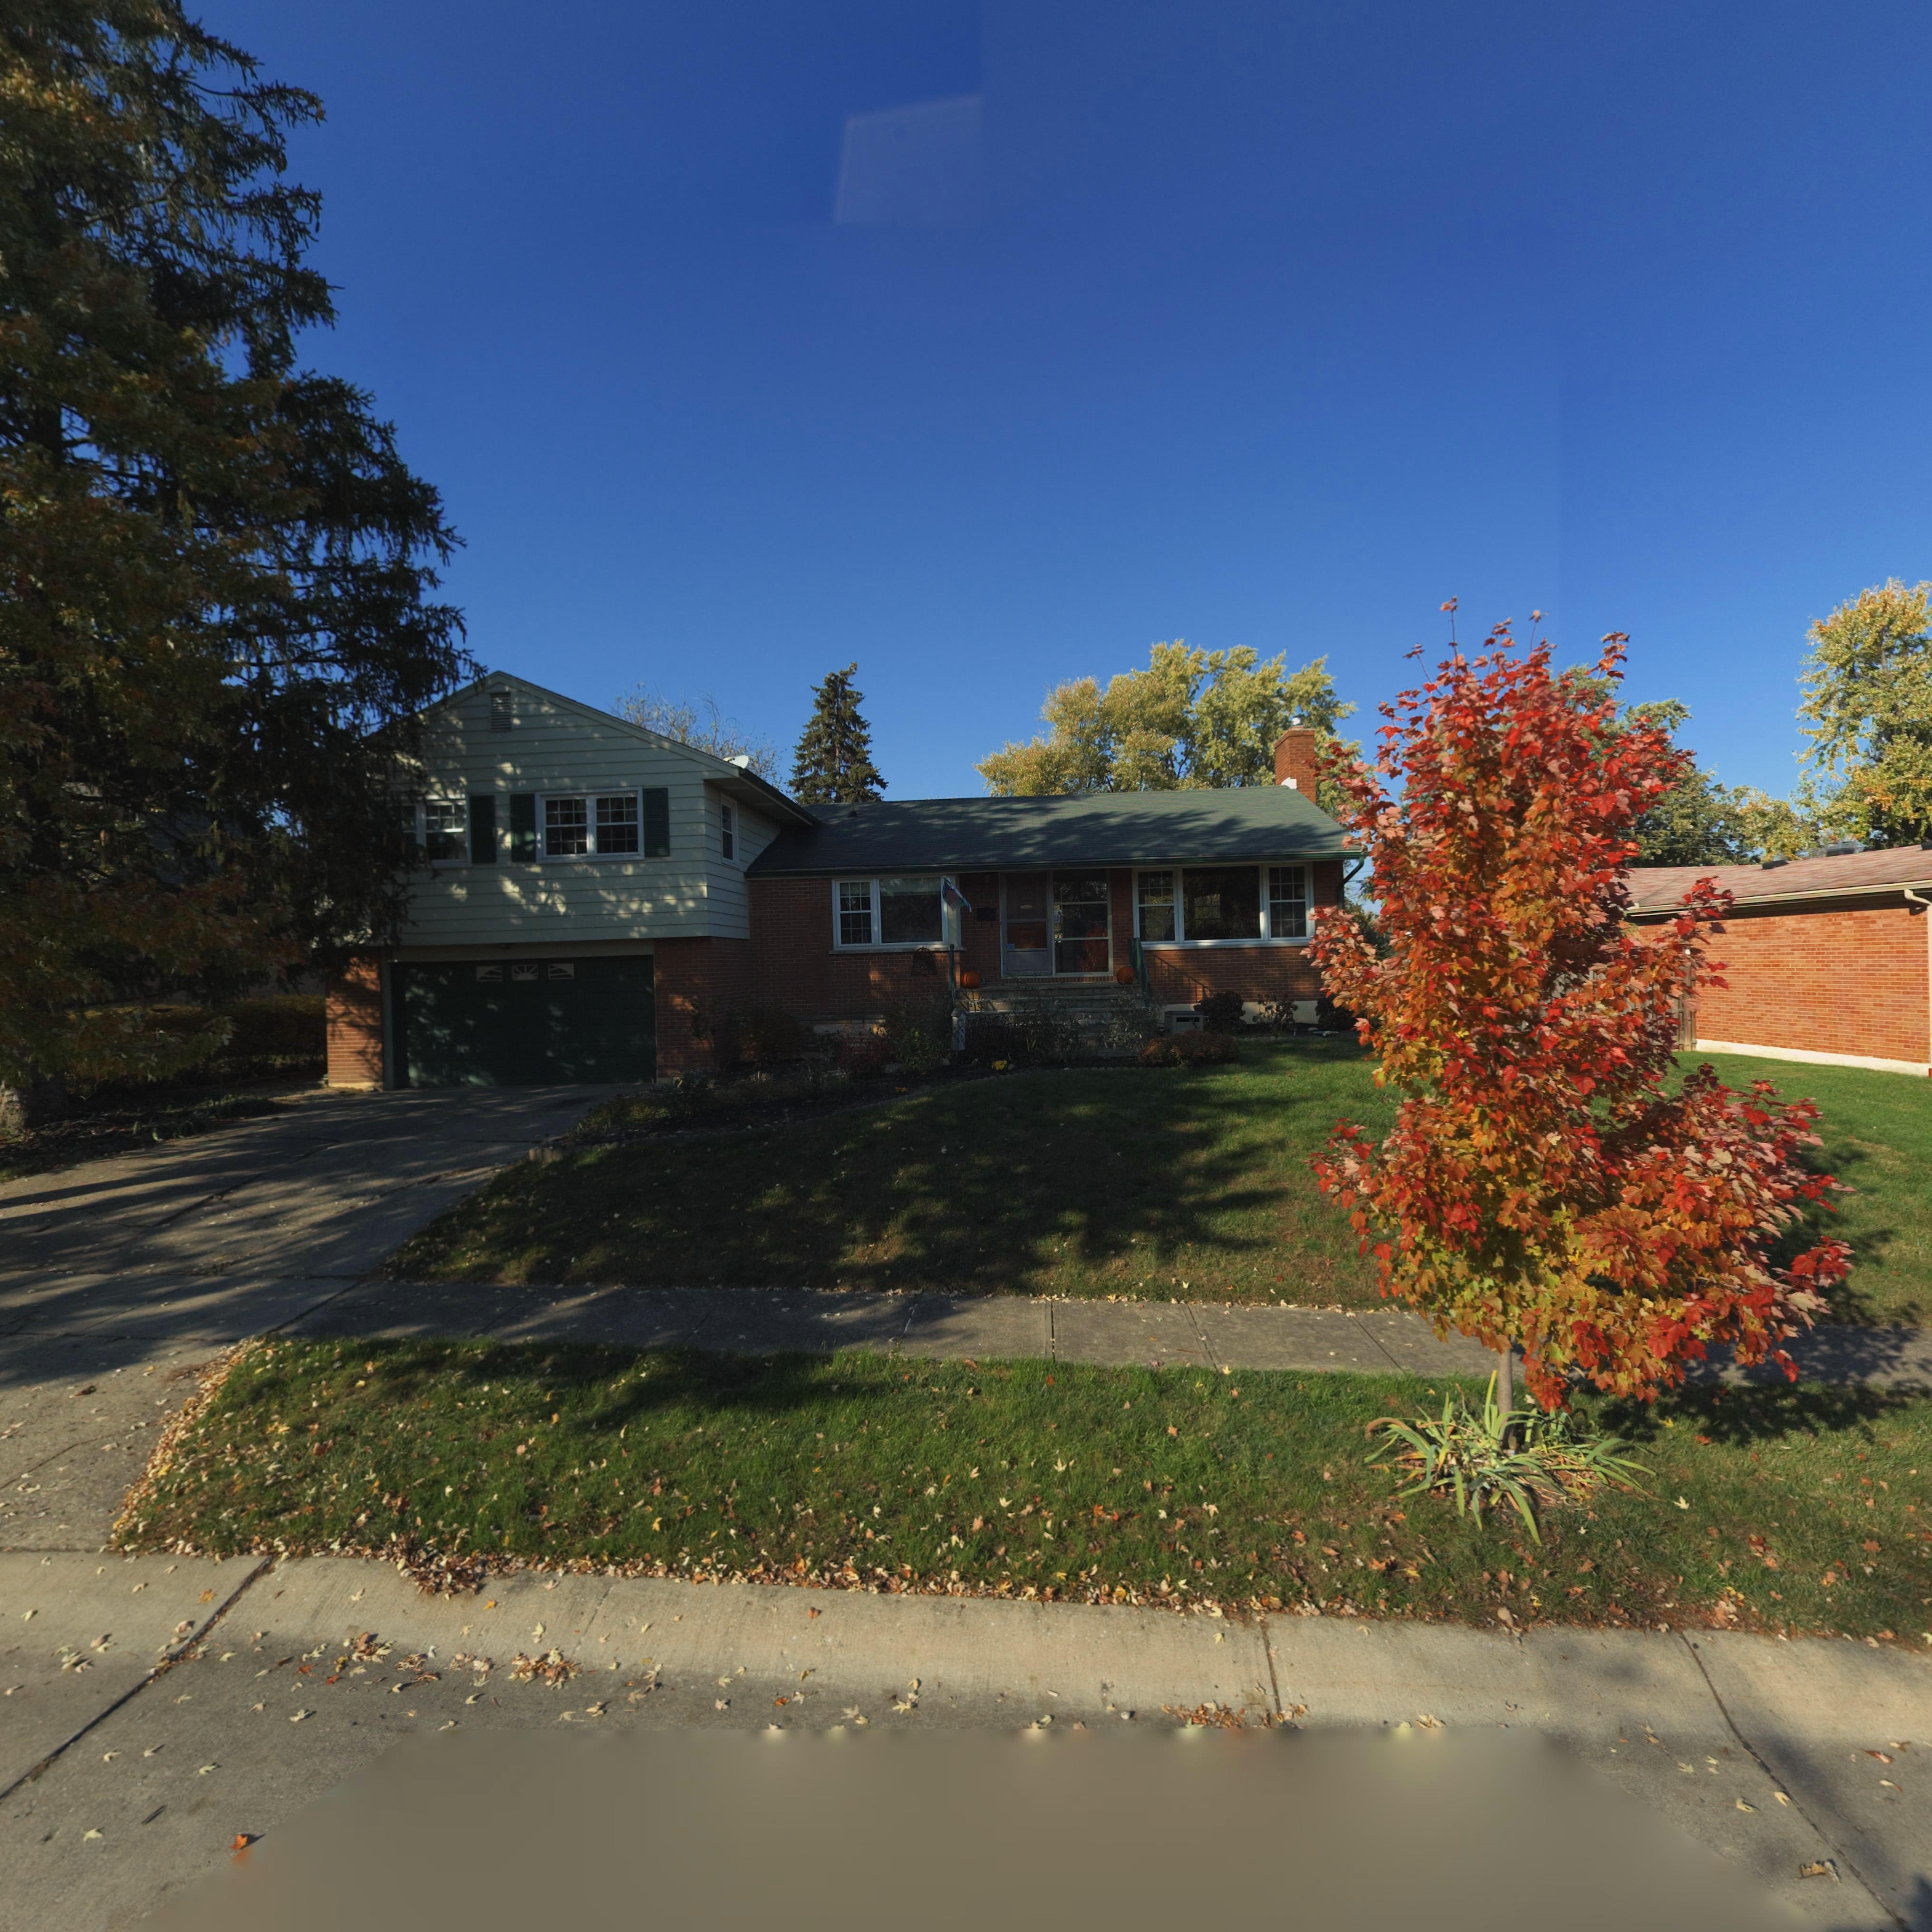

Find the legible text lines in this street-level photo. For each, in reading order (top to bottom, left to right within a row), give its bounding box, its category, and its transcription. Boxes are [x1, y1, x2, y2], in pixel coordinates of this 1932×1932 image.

[979, 894, 995, 900] StreetNumber: 627